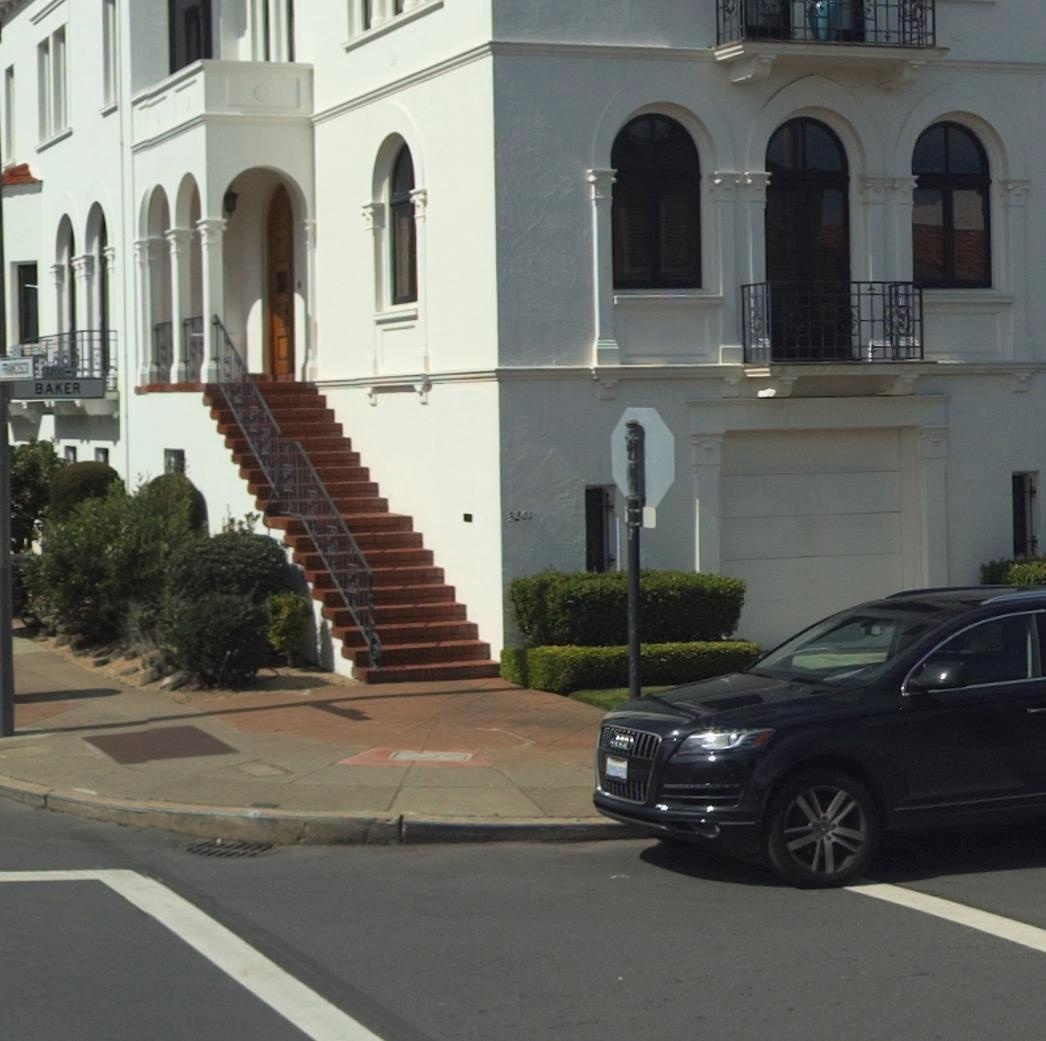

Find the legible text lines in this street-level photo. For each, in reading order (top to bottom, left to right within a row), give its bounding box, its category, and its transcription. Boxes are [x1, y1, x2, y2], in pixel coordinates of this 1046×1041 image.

[43, 365, 75, 378] StreetNumberRange: 1200->
[33, 380, 84, 397] StreetName: BAKER
[503, 507, 536, 525] StreetNumber: 320